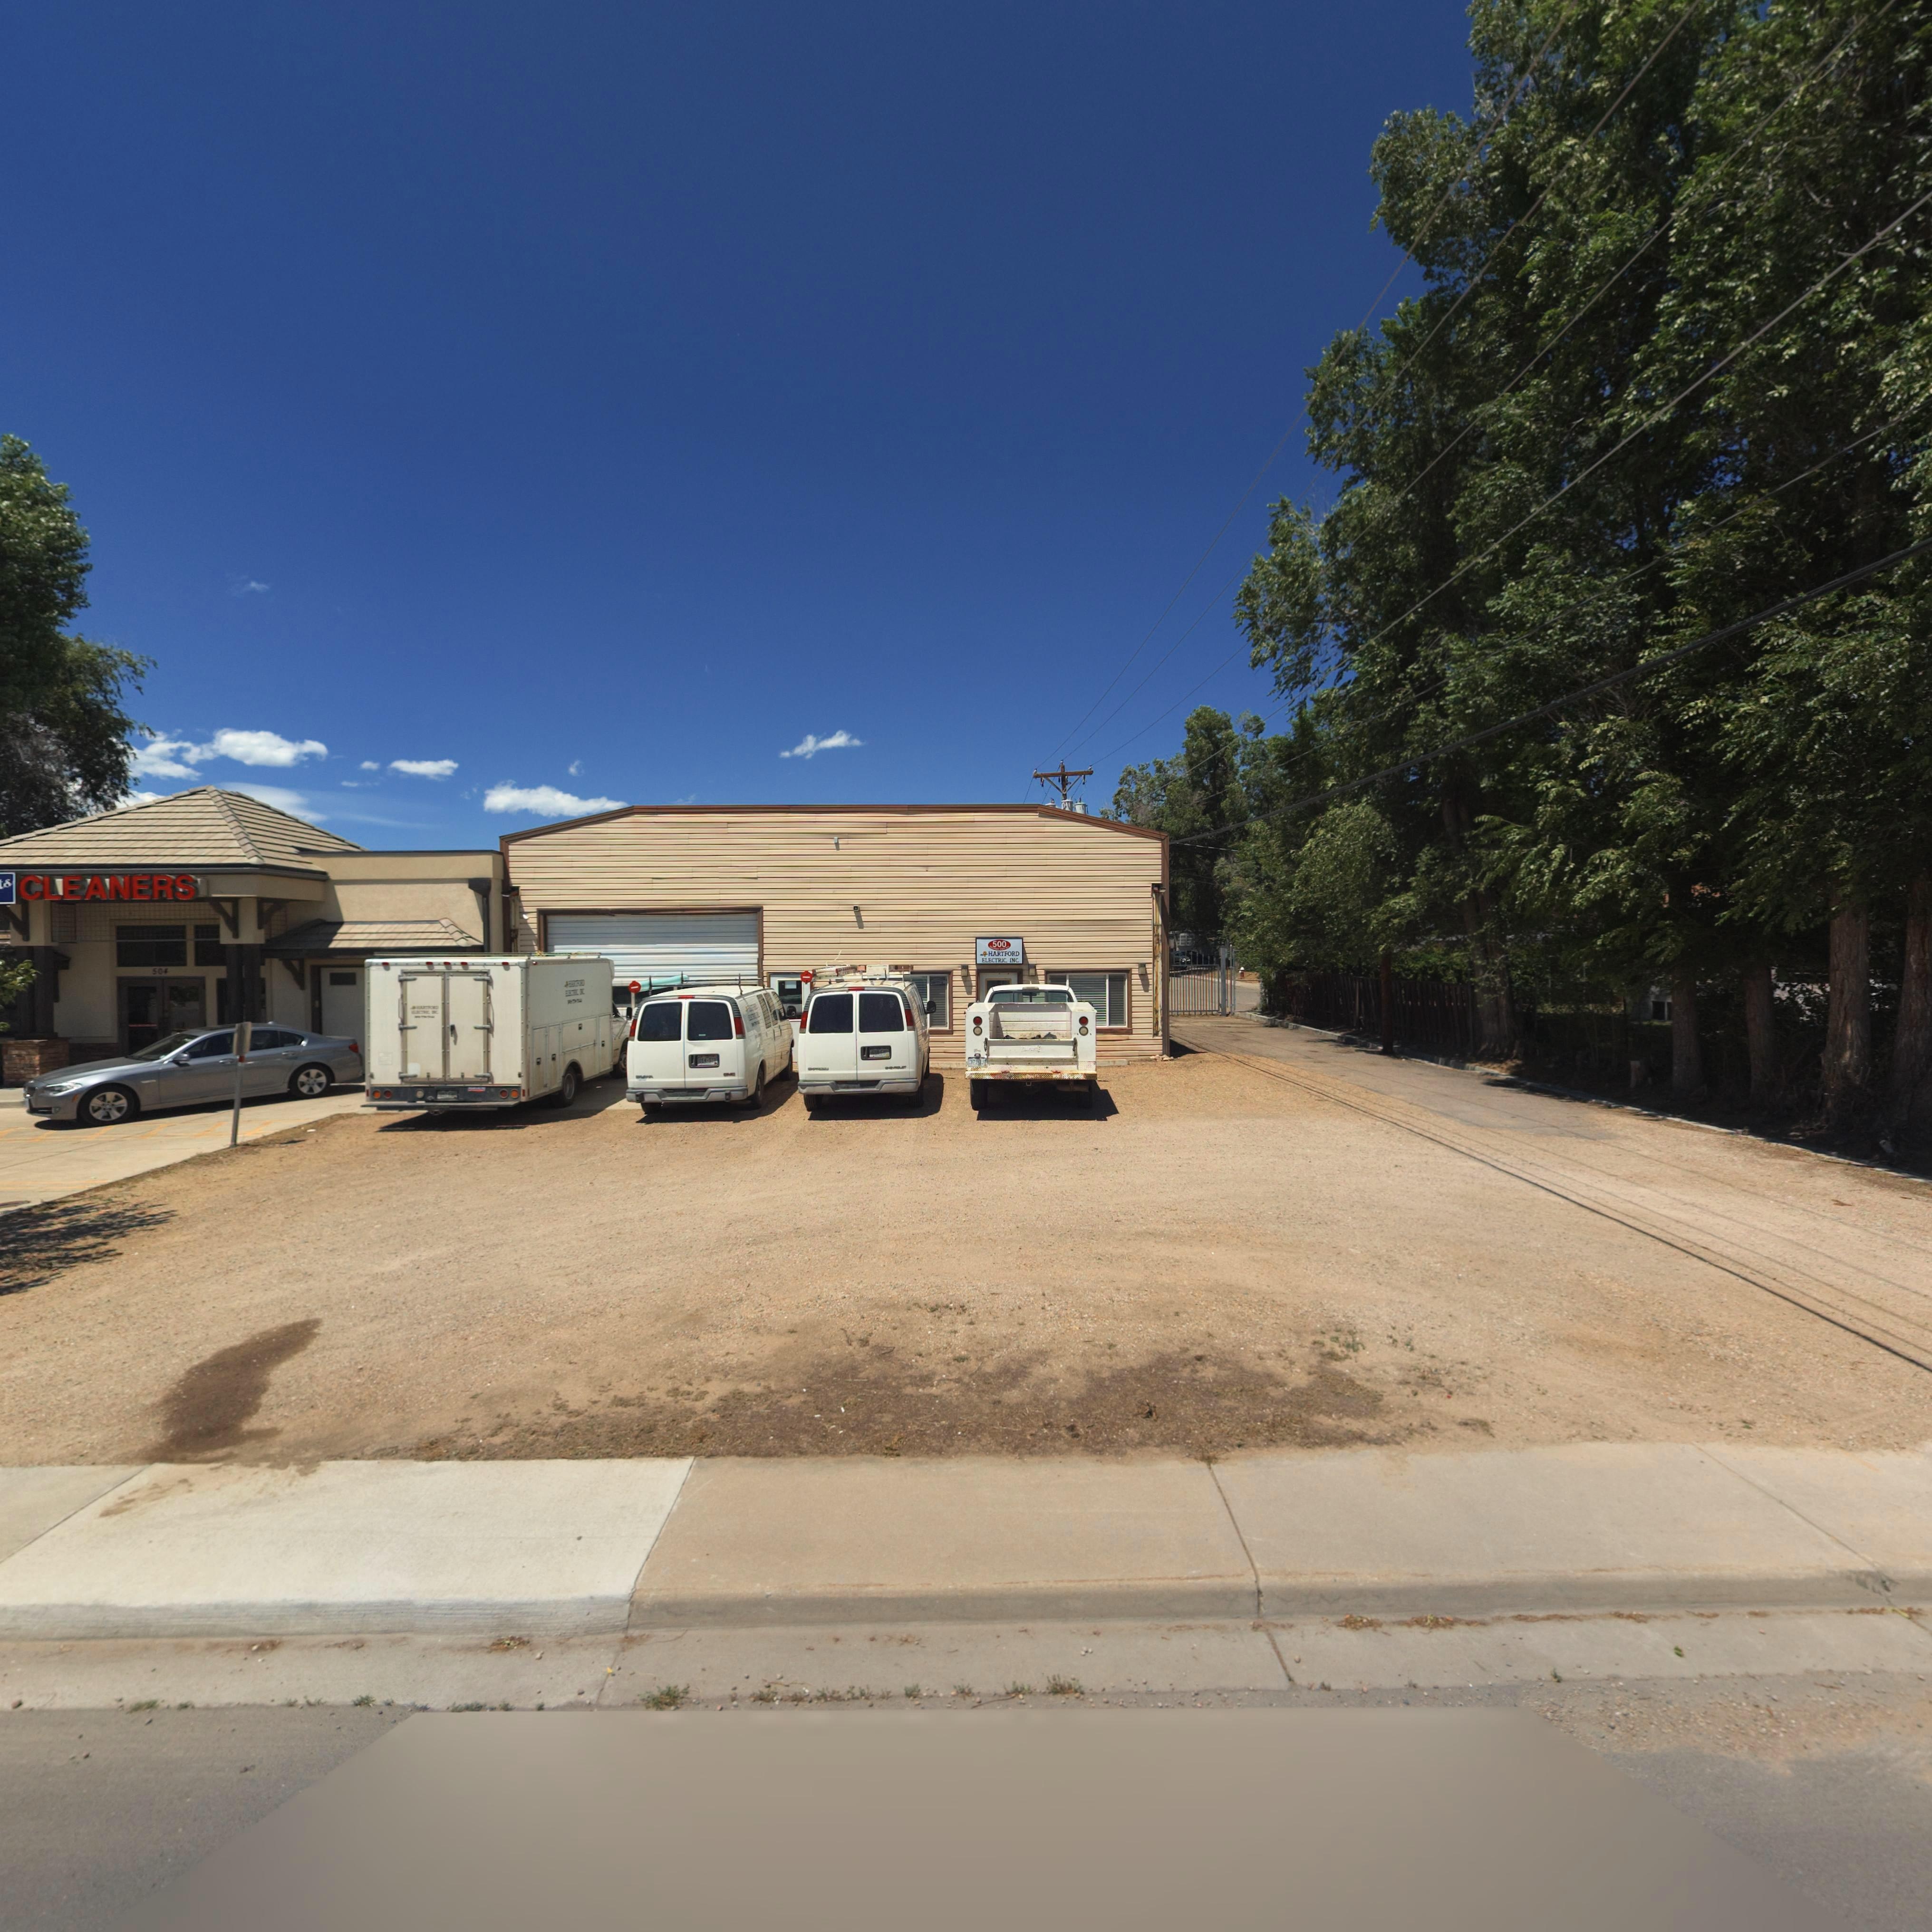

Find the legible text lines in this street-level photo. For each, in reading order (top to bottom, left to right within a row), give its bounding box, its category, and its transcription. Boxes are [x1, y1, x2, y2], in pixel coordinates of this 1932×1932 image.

[3, 878, 12, 888] BusinessName: s
[19, 873, 200, 901] BusinessName: CLEANERS
[992, 940, 1006, 947] StreetNumber: 500
[988, 950, 1020, 956] BusinessName: HARTFORD
[982, 957, 1019, 962] BusinessName: ELECTRIC INC
[152, 967, 168, 974] StreetNumber: 504